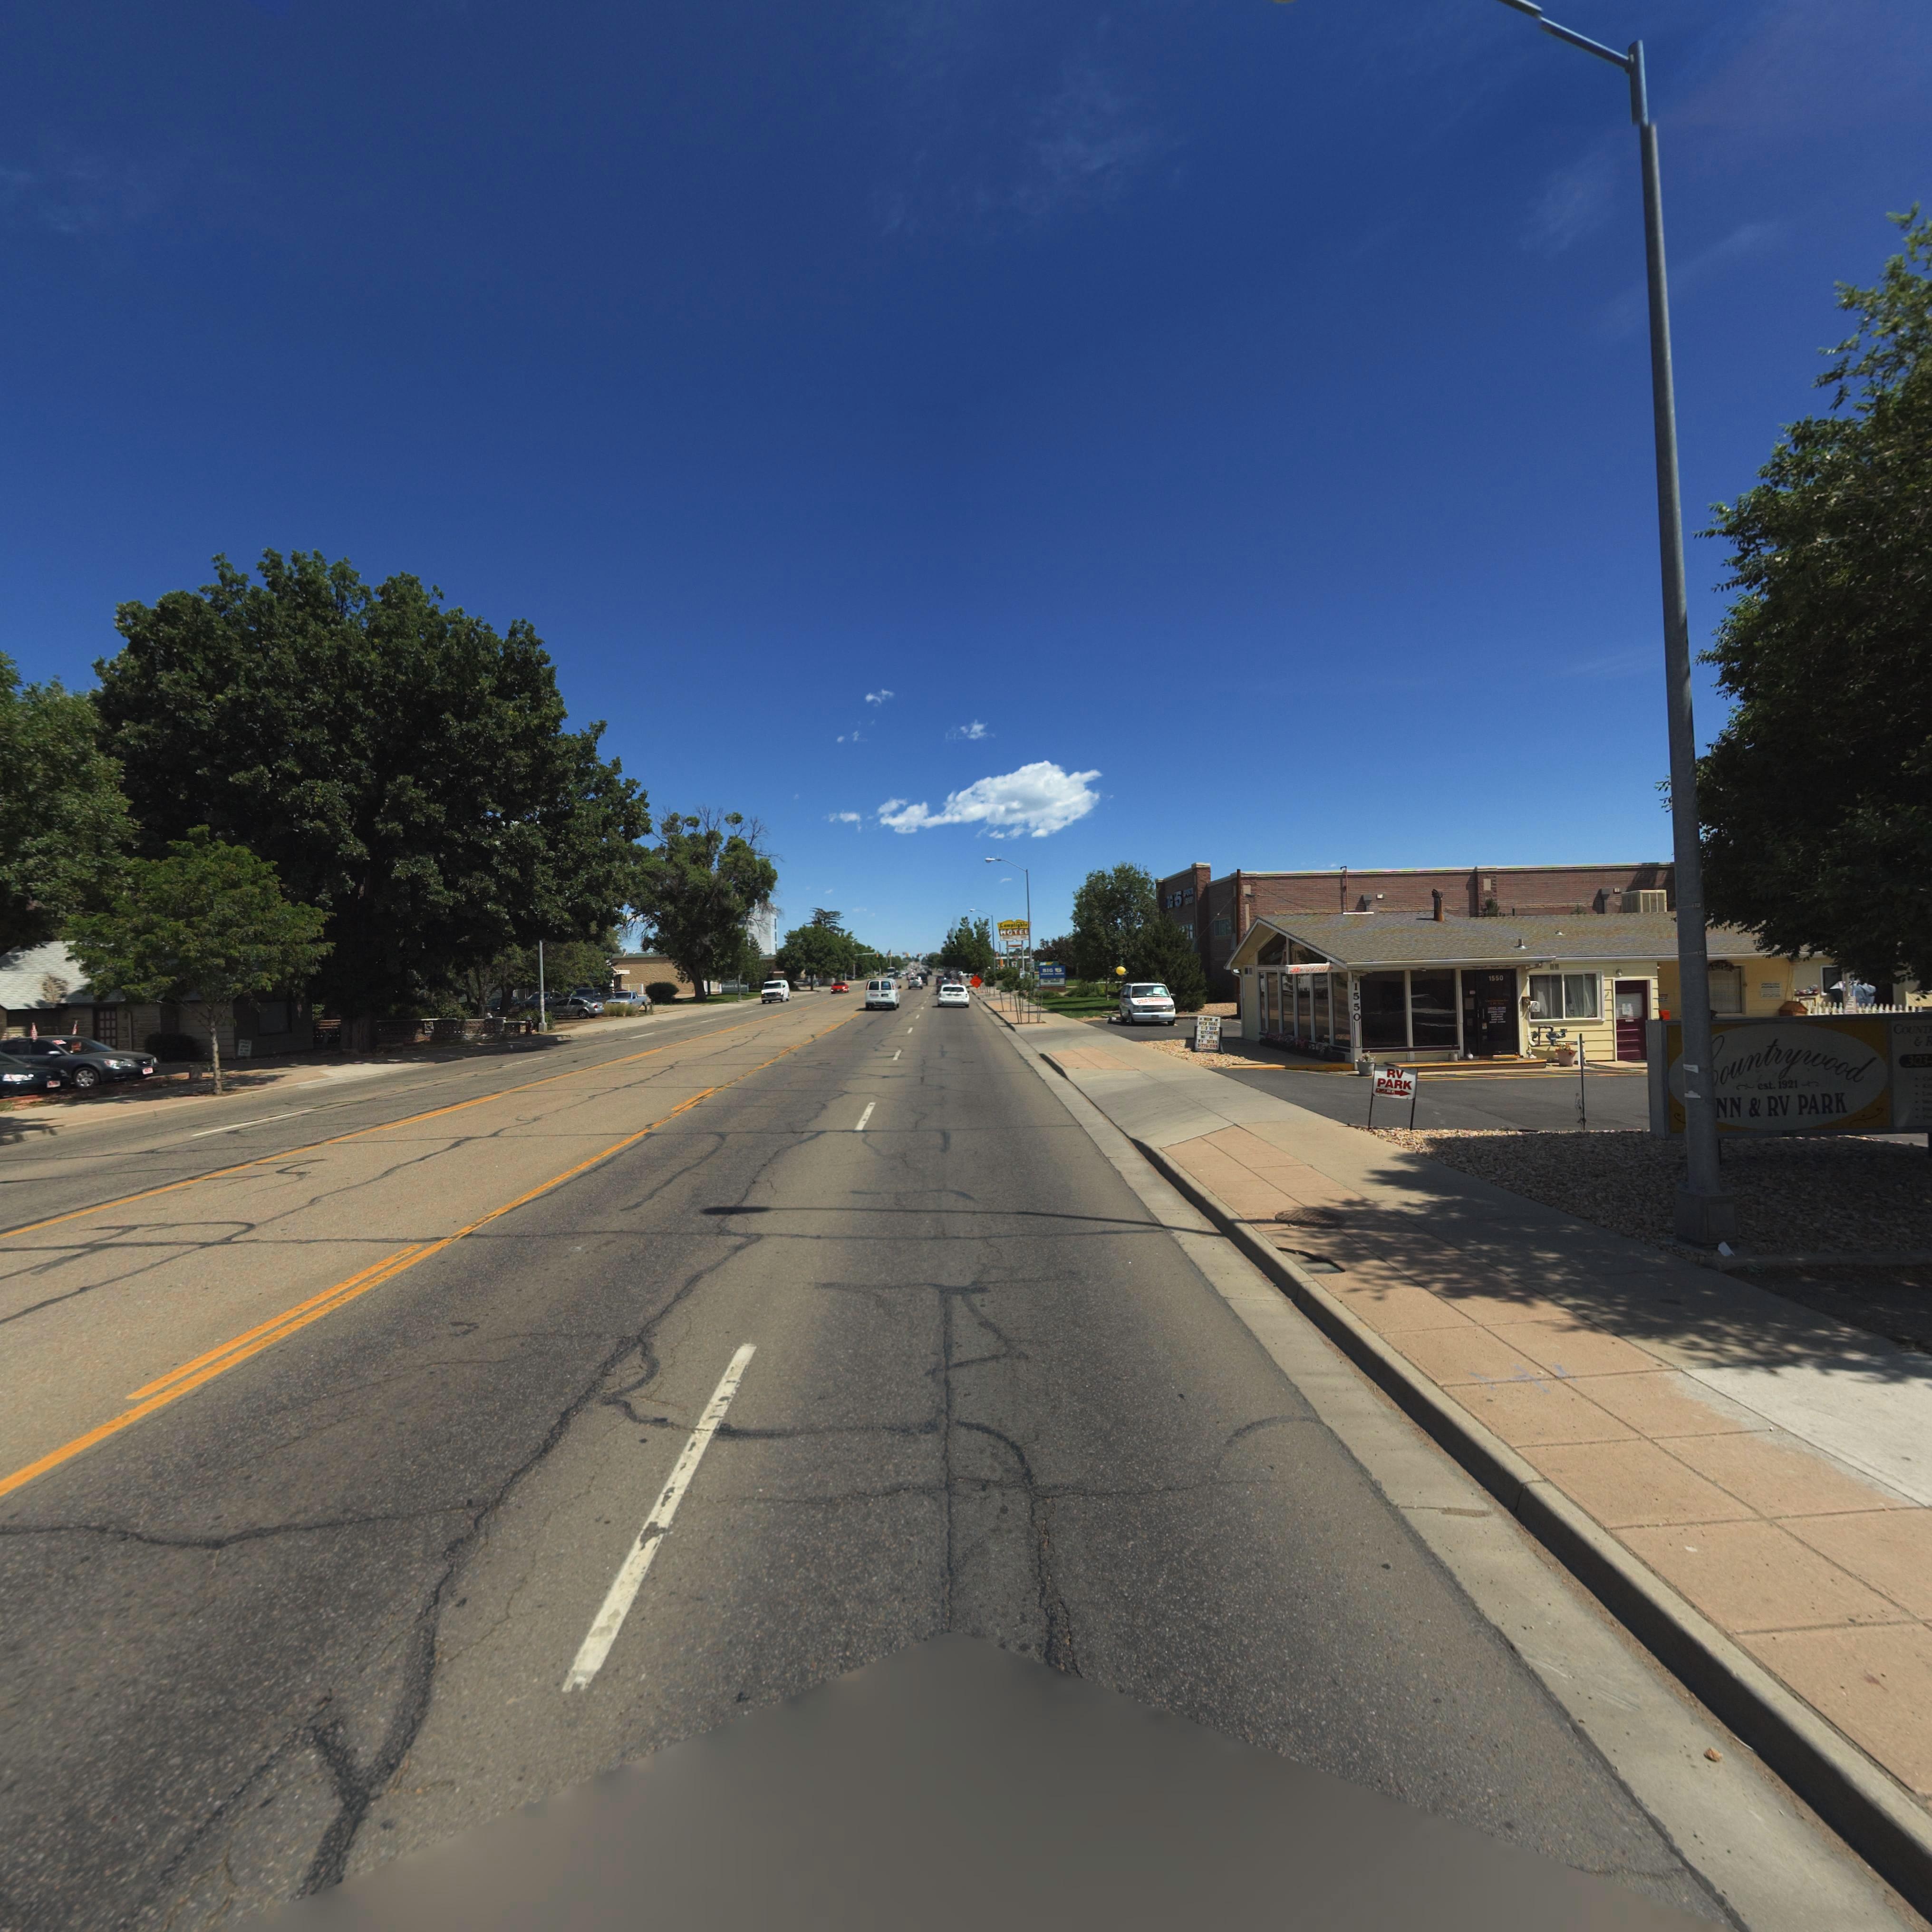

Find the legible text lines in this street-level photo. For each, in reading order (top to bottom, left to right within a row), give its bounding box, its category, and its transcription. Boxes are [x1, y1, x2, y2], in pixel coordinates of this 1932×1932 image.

[1183, 887, 1193, 898] BusinessName: S****
[1167, 890, 1182, 909] BusinessName: IG 5
[1185, 896, 1193, 904] BusinessName: G****
[999, 922, 1027, 928] BusinessName: L*mplighte
[1000, 928, 1029, 935] BusinessName: Motel
[1042, 967, 1062, 972] BusinessName: BIG 5
[1488, 975, 1504, 981] StreetNumber: 1550
[1353, 983, 1361, 1021] StreetNumber: 1550
[1893, 1024, 1931, 1034] BusinessName: COUNT
[1709, 1034, 1880, 1088] BusinessName: *ountrywood
[1715, 1092, 1848, 1119] BusinessName: NN * RV PARK